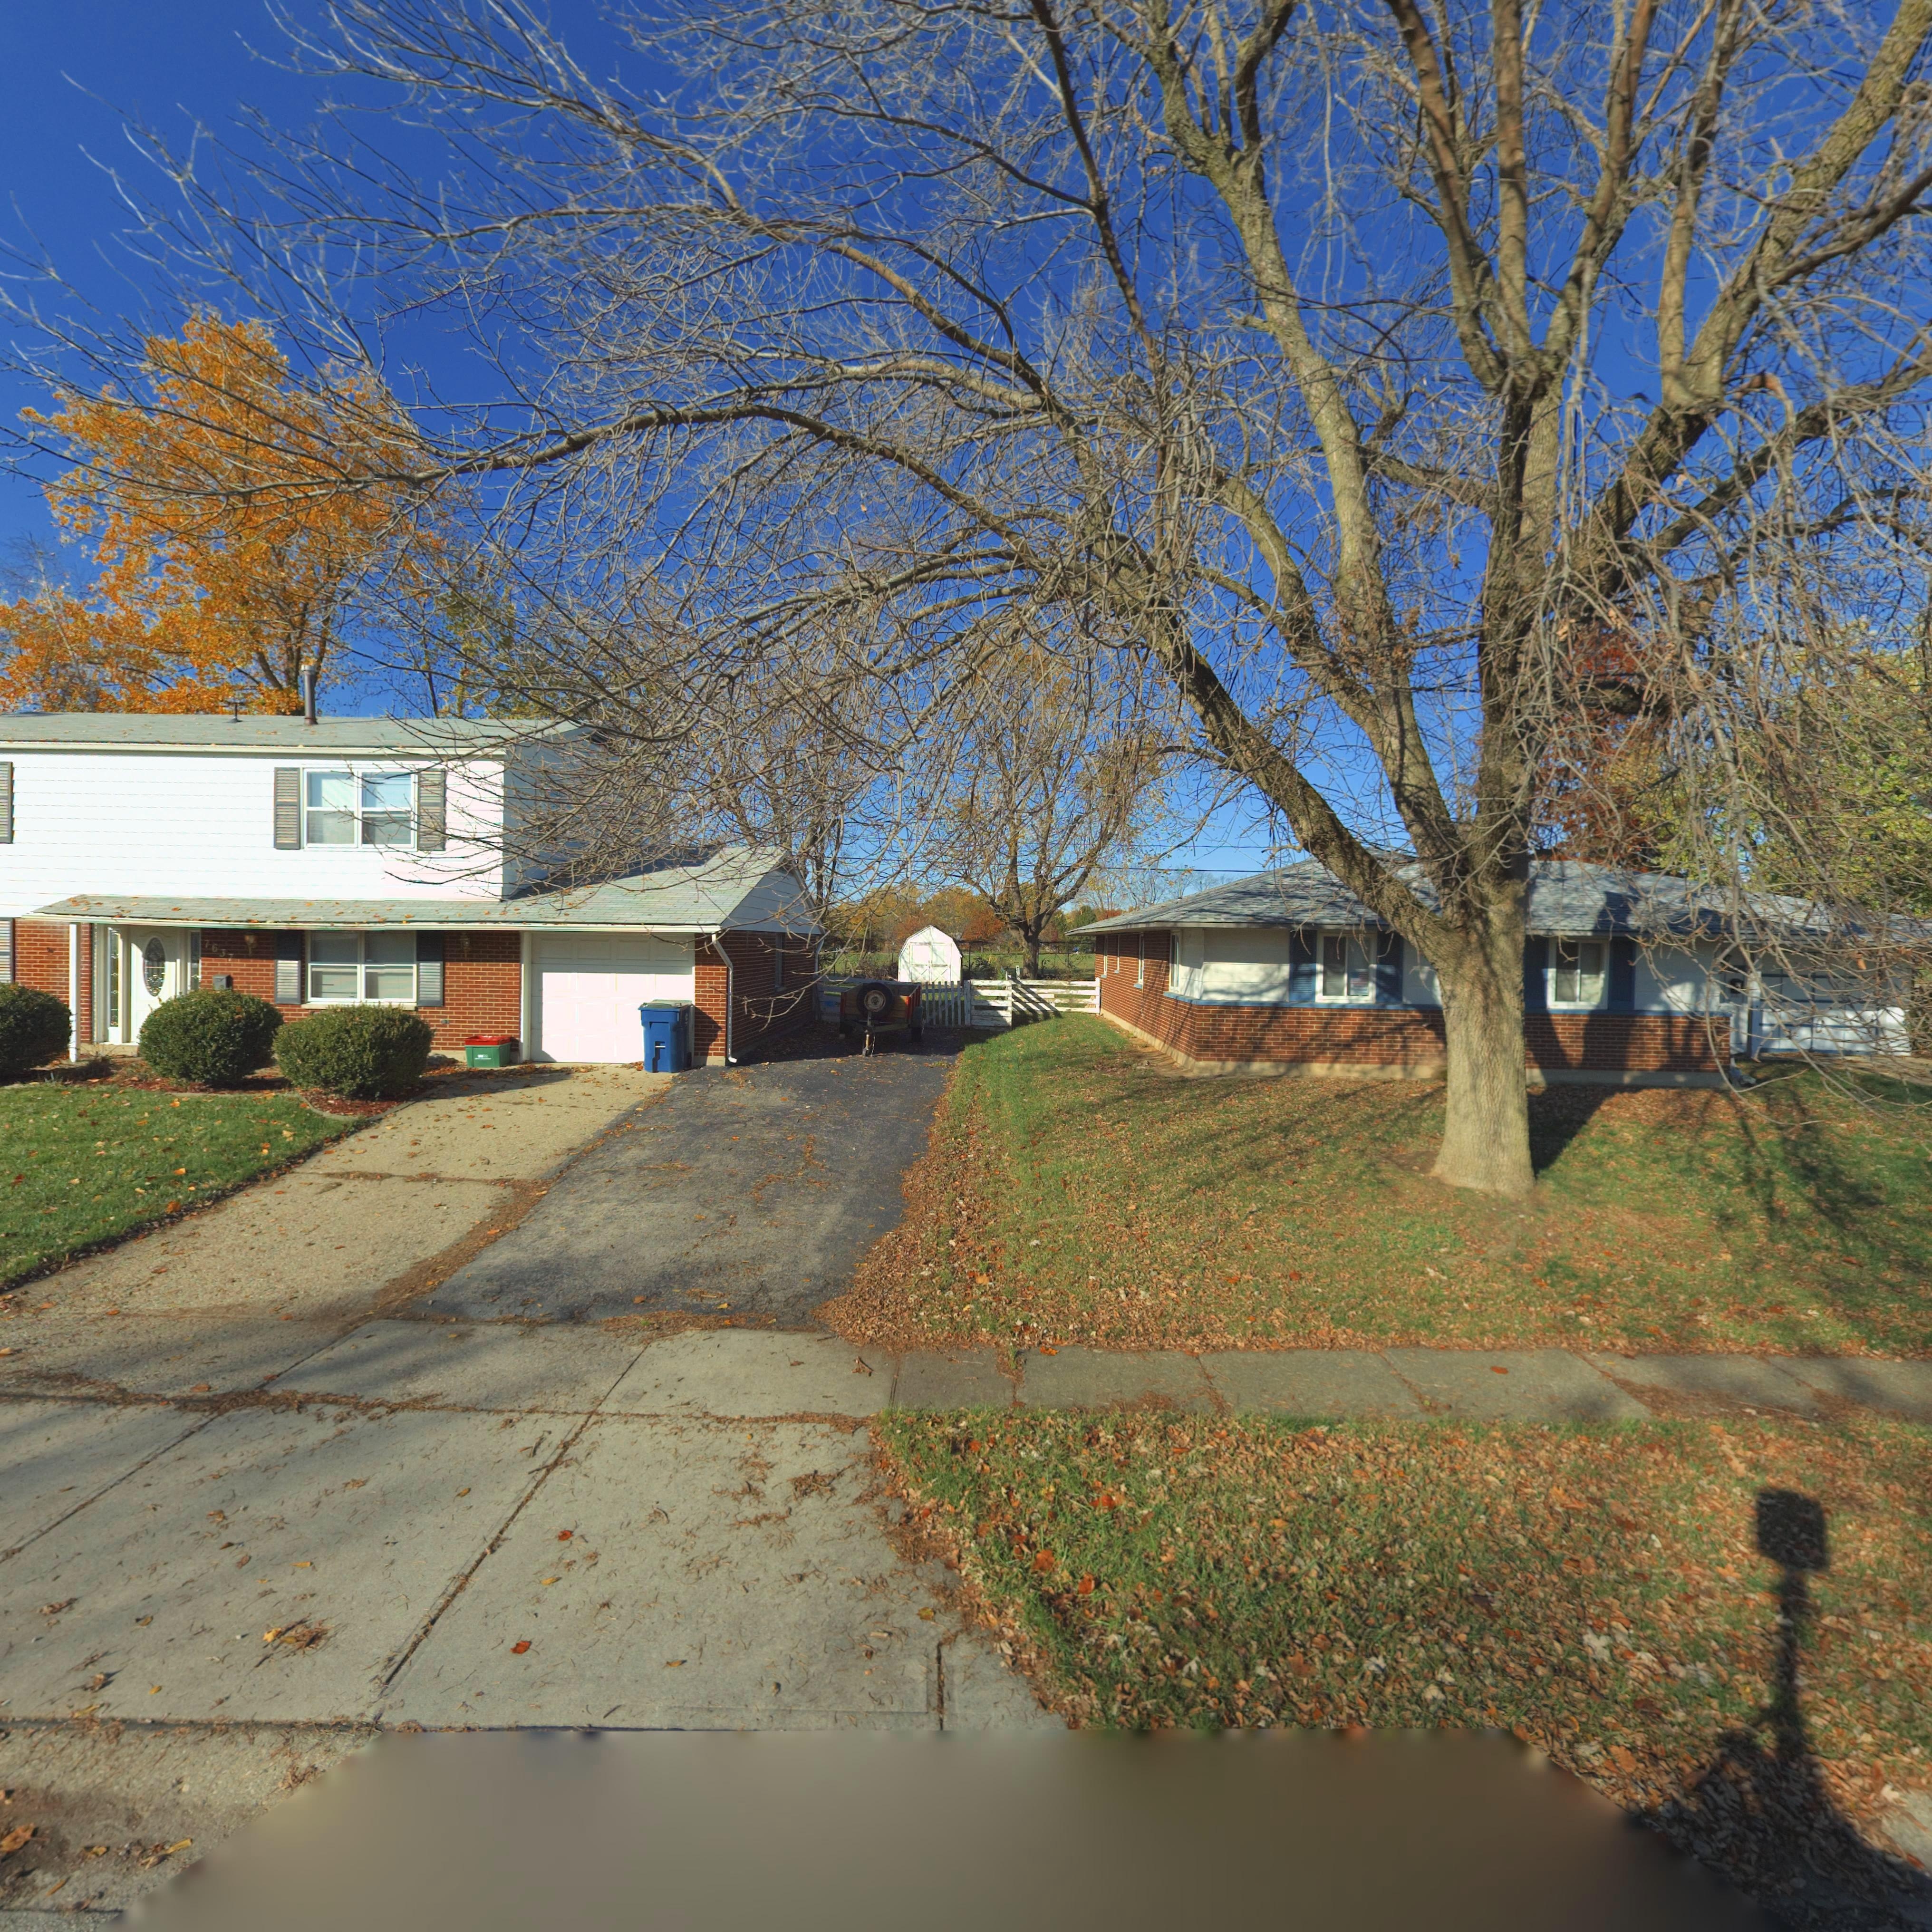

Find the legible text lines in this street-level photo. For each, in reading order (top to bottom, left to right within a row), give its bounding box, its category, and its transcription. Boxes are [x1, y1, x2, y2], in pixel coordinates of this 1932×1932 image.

[203, 938, 236, 963] StreetNumber: 7637